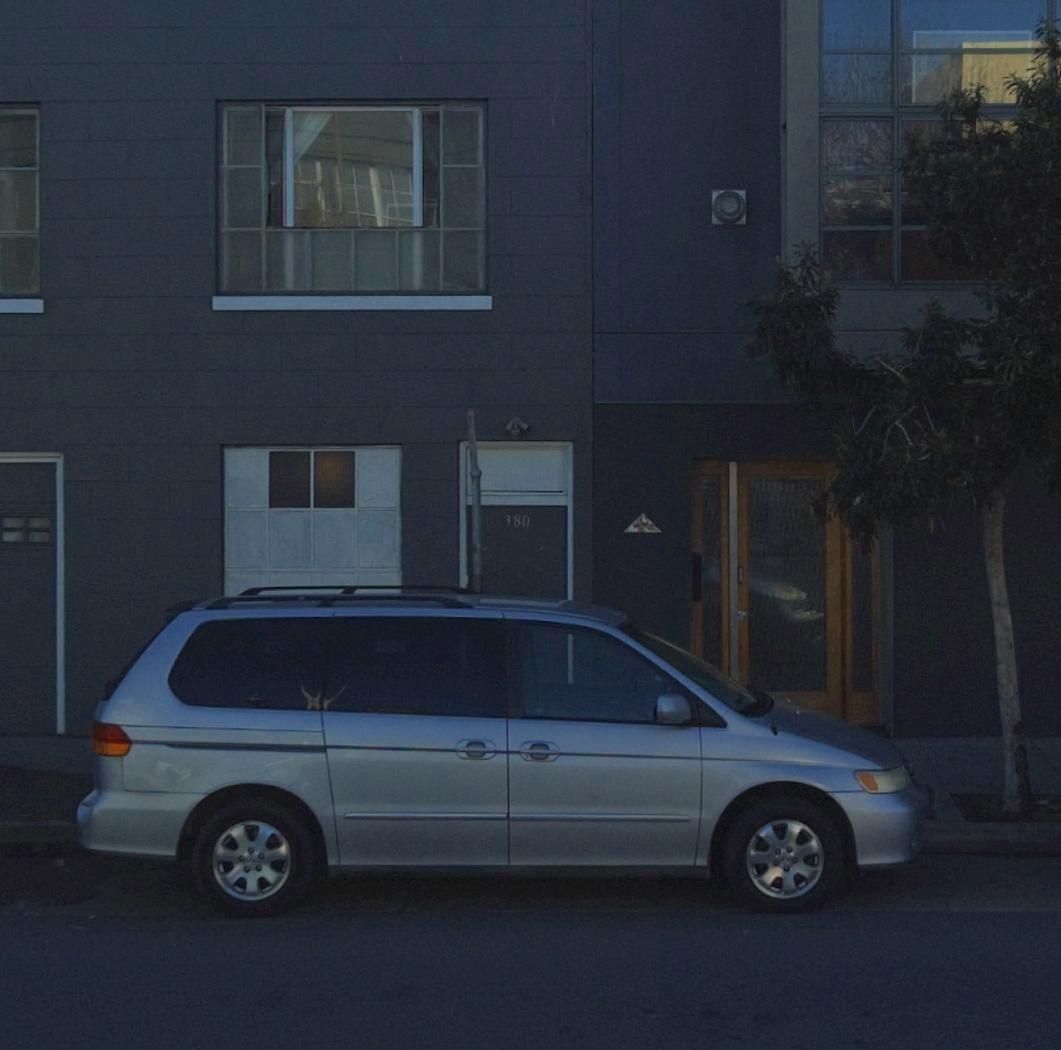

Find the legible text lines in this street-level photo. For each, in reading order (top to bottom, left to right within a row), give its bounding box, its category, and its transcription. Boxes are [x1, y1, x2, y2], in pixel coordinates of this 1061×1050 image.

[502, 513, 531, 529] StreetNumber: 380